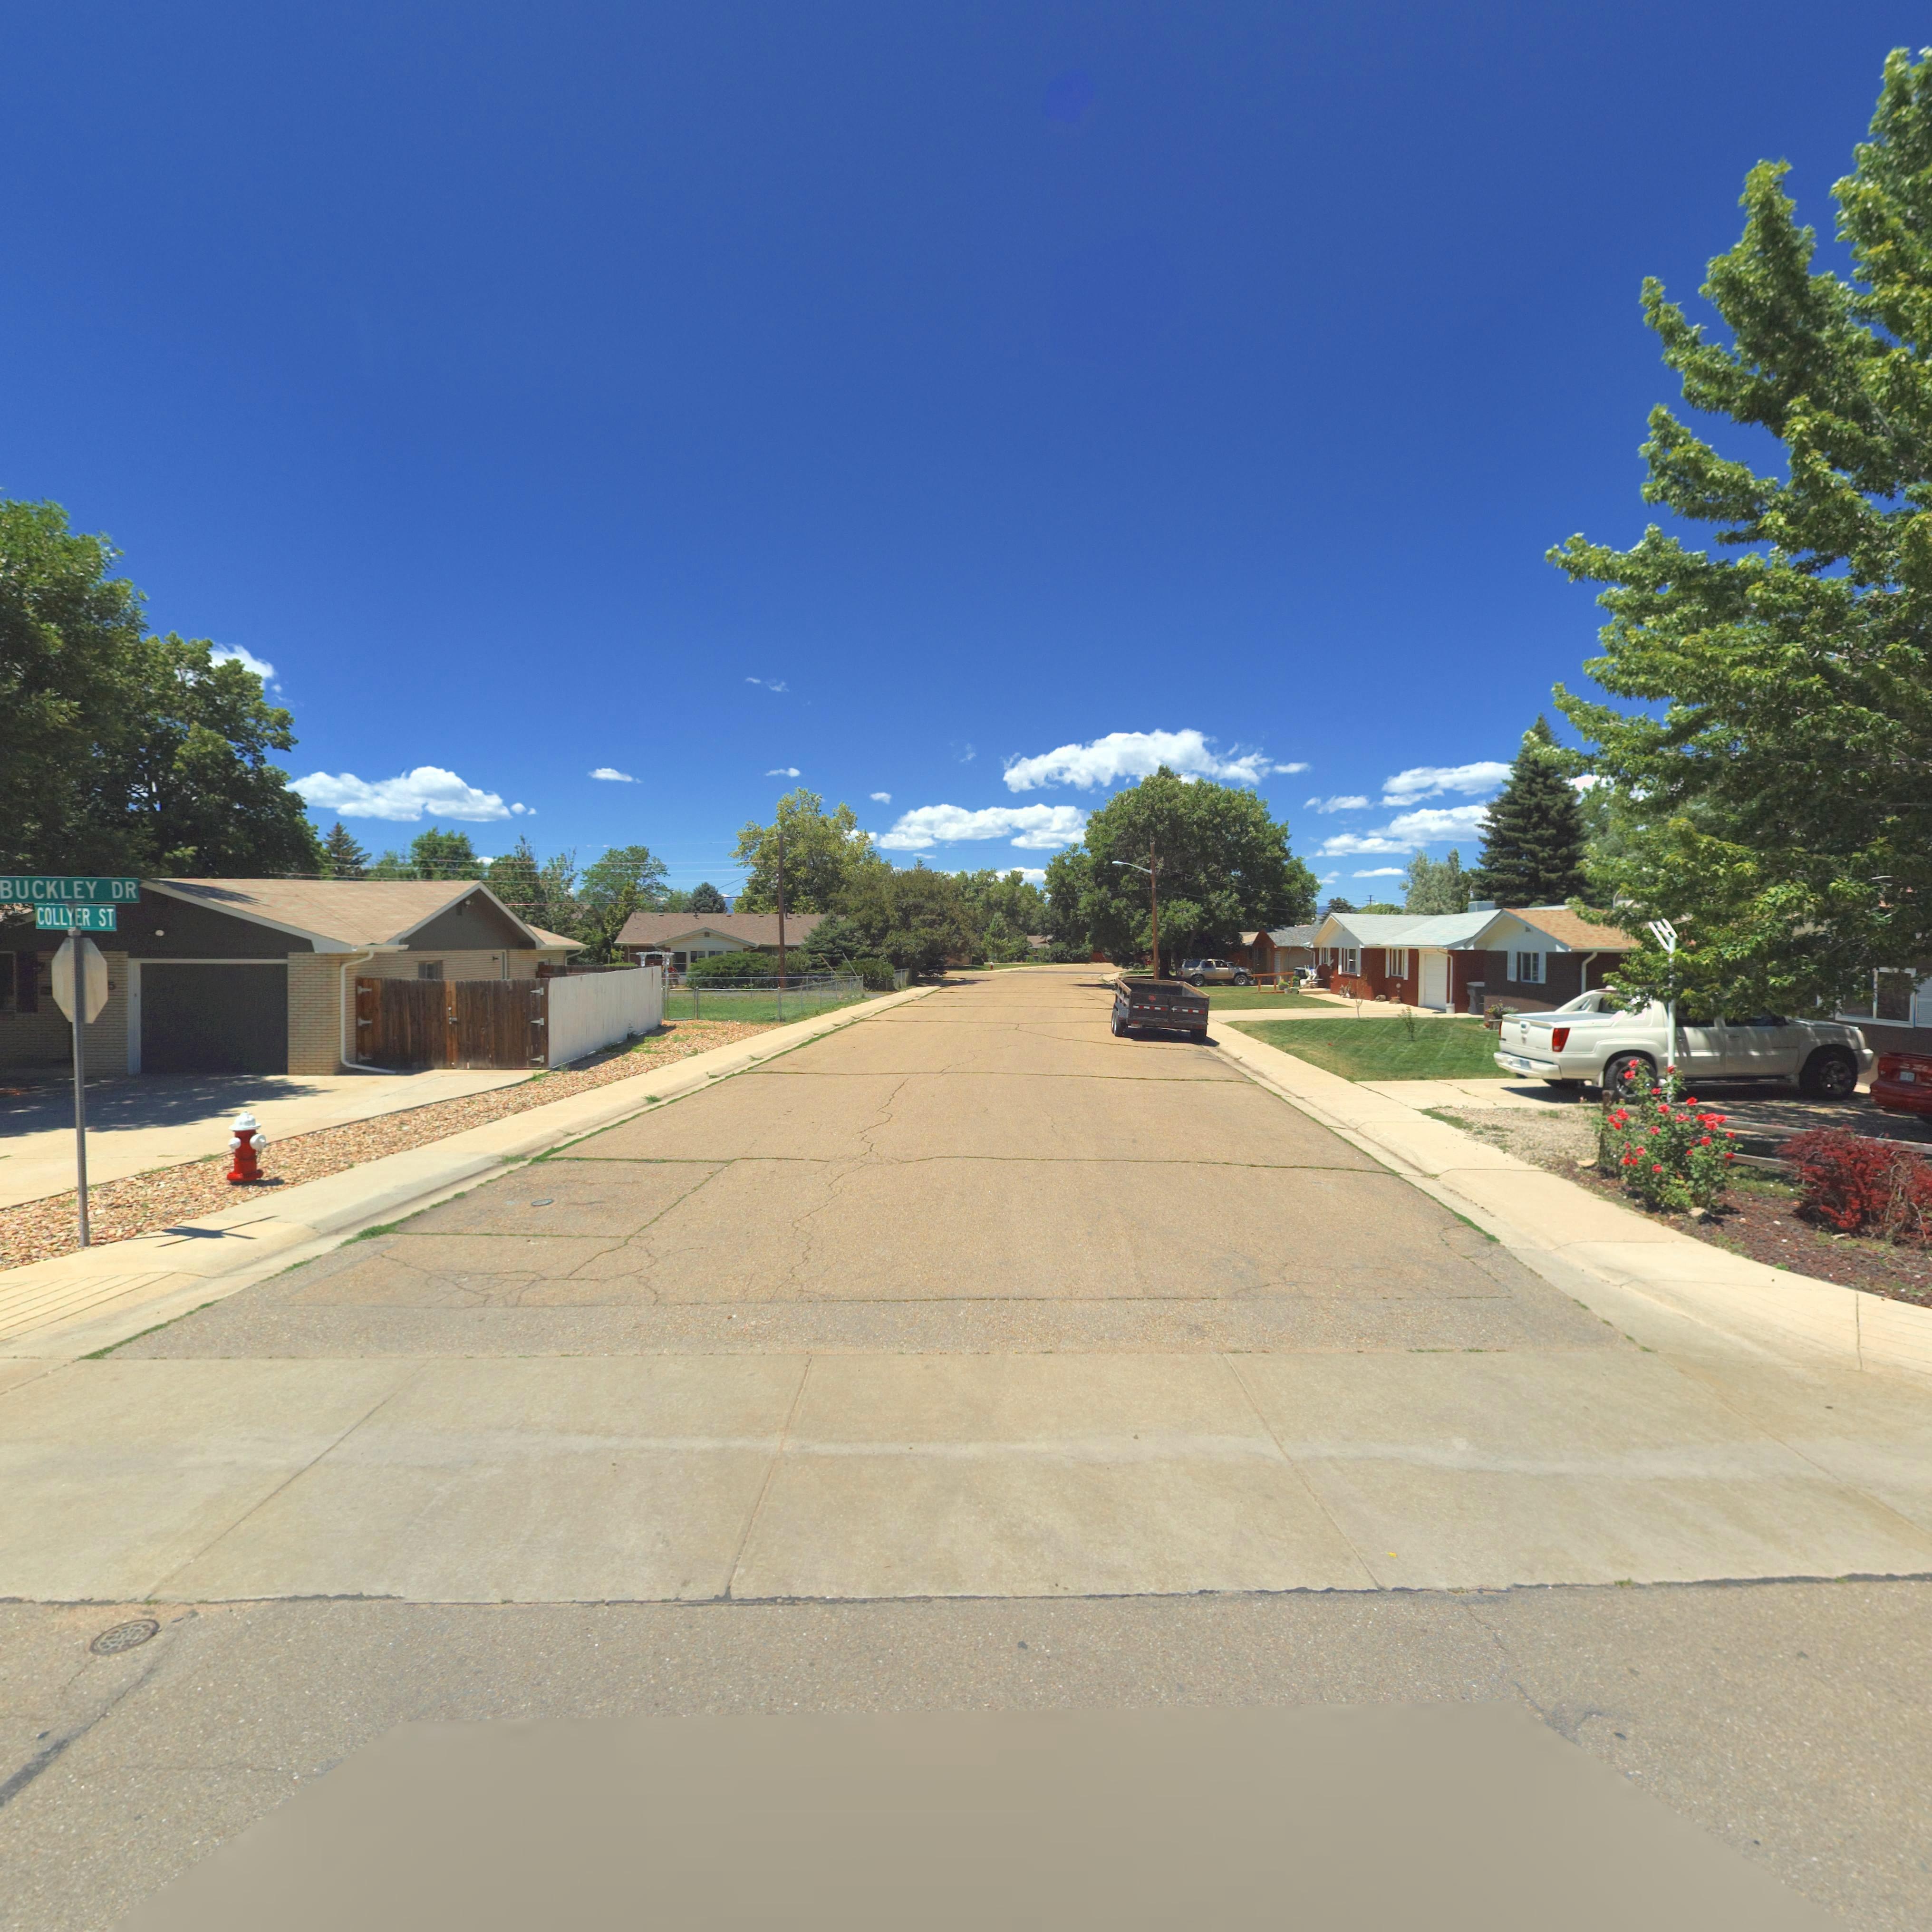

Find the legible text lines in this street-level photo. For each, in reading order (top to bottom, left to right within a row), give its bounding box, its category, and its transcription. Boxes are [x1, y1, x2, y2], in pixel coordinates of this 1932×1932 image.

[0, 879, 137, 898] StreetName: BUCKLEY DR
[36, 906, 115, 927] StreetName: COLLYER ST
[107, 980, 116, 990] StreetNumber: 5